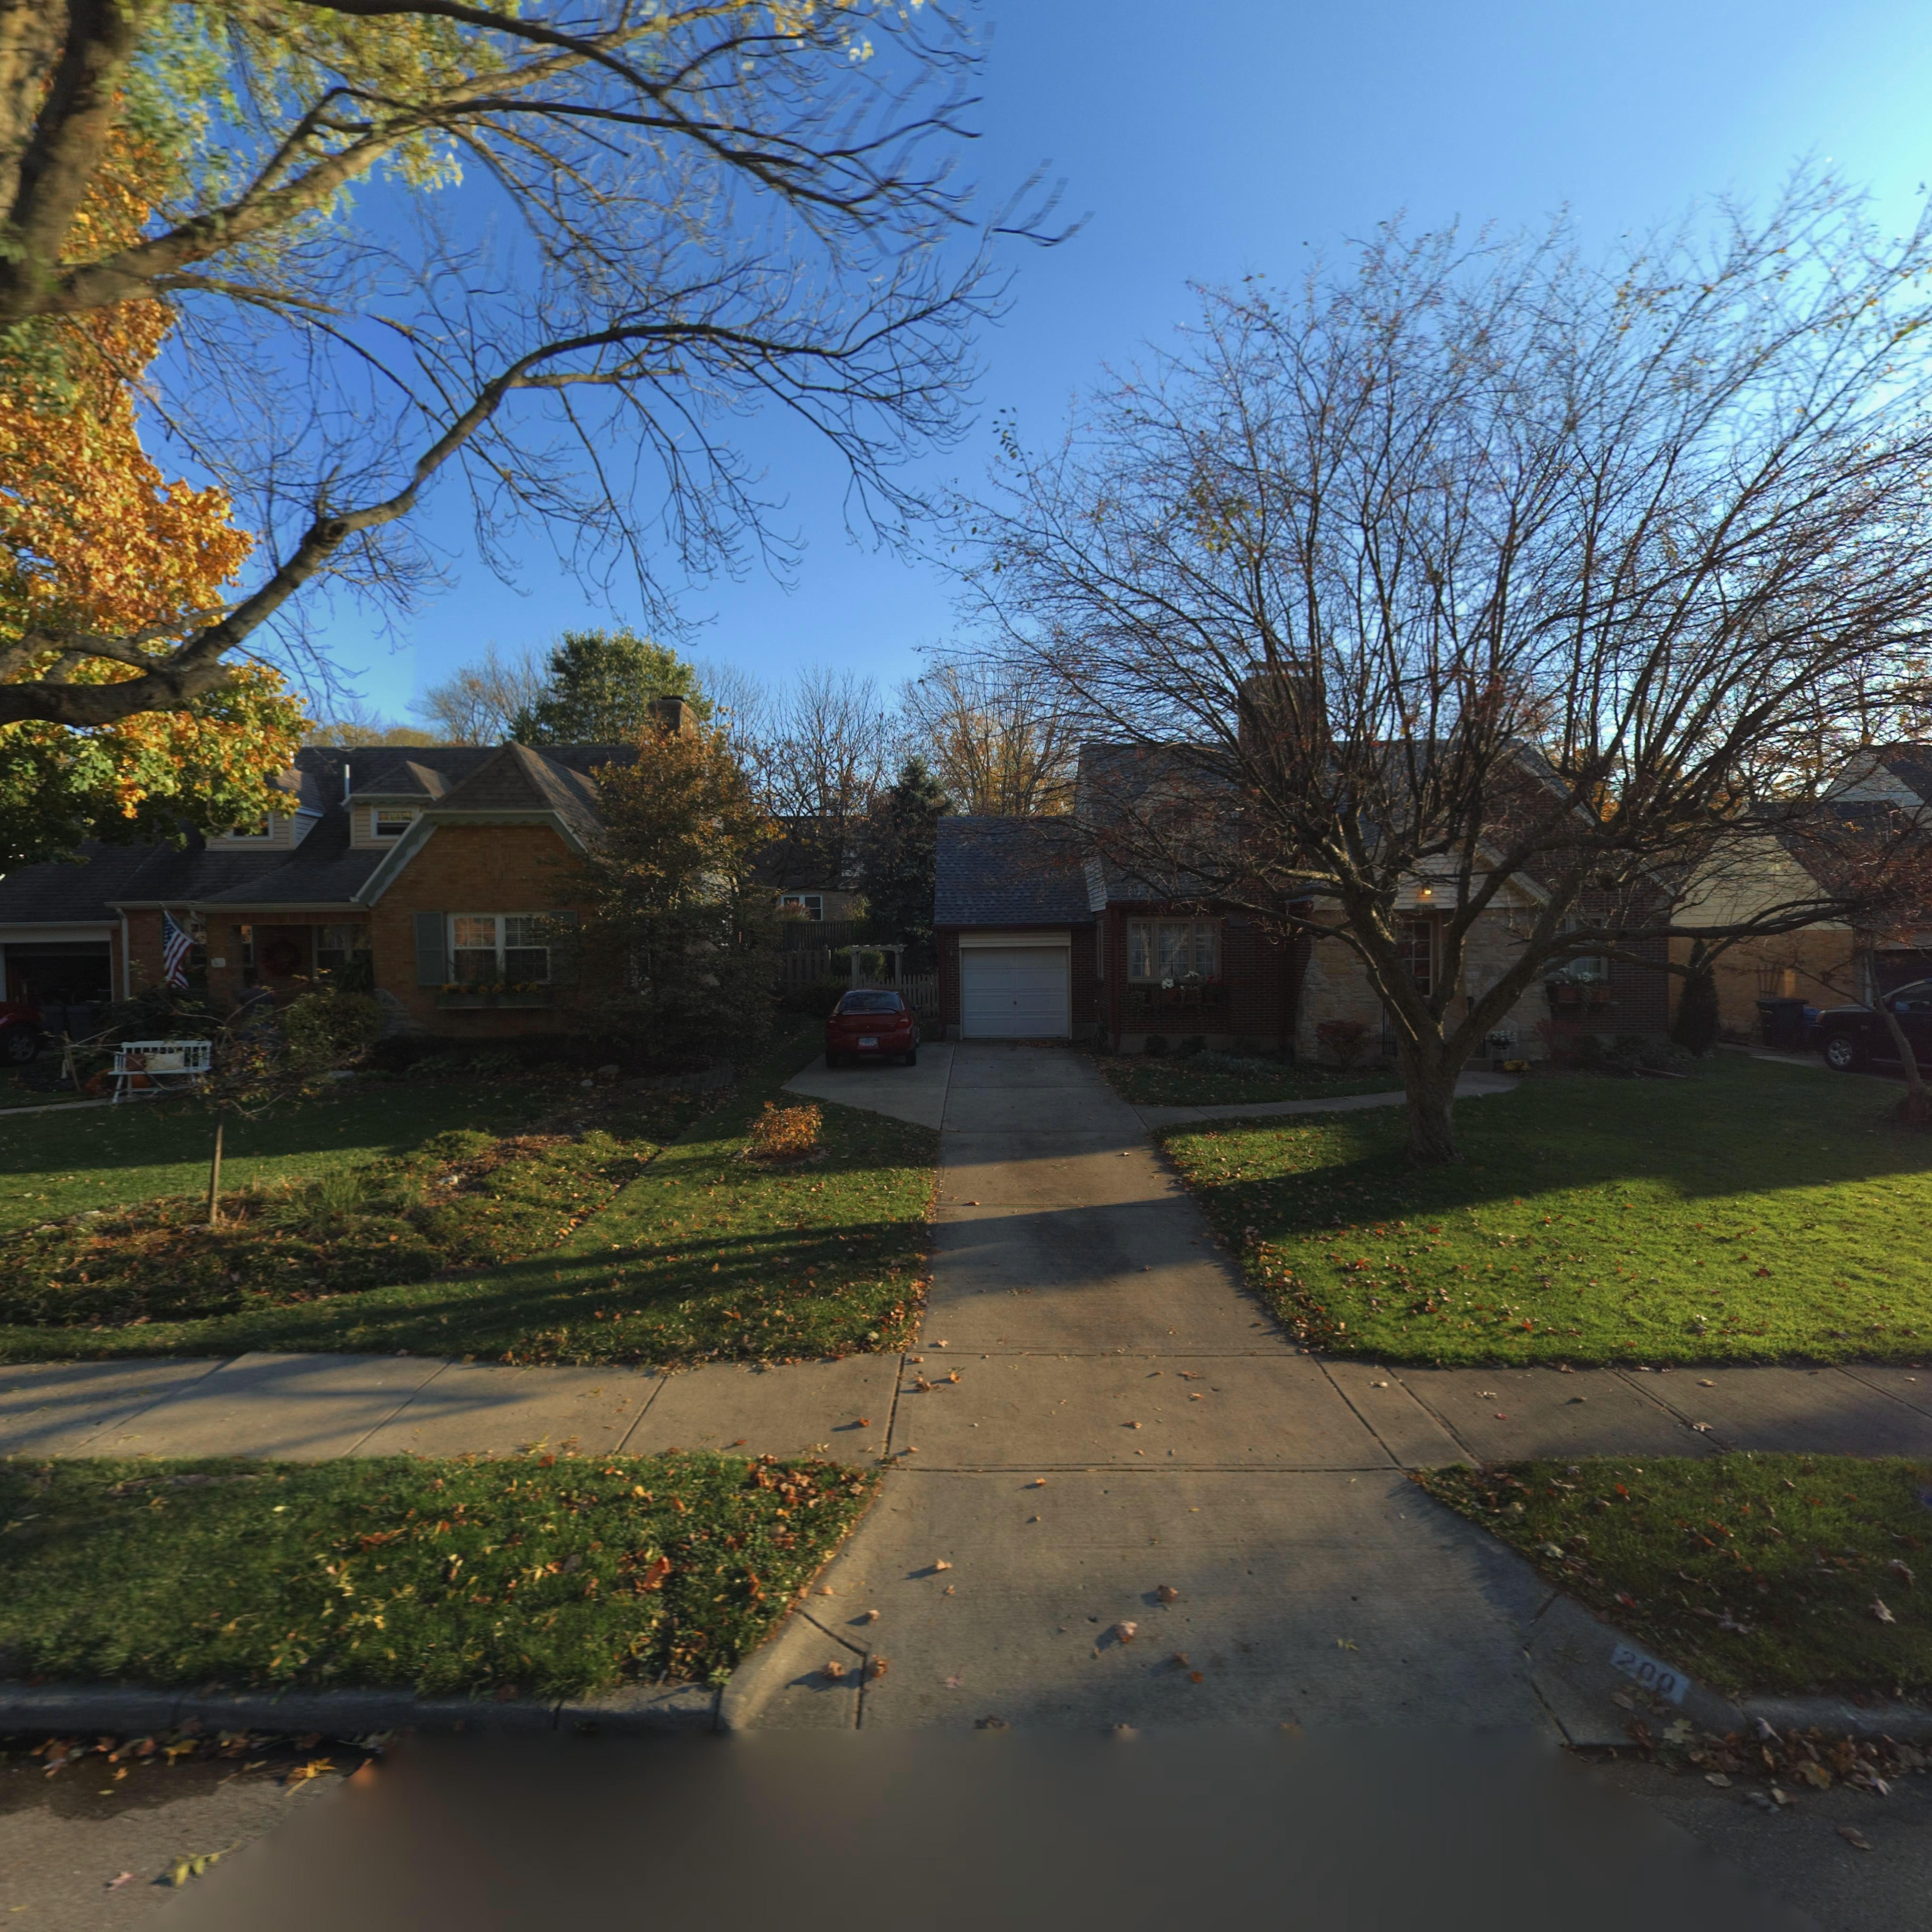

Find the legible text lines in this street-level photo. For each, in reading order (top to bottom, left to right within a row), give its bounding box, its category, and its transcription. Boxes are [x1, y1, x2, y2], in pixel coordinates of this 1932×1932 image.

[1416, 903, 1436, 911] StreetNumber: 200
[1612, 1646, 1681, 1700] StreetNumber: 200